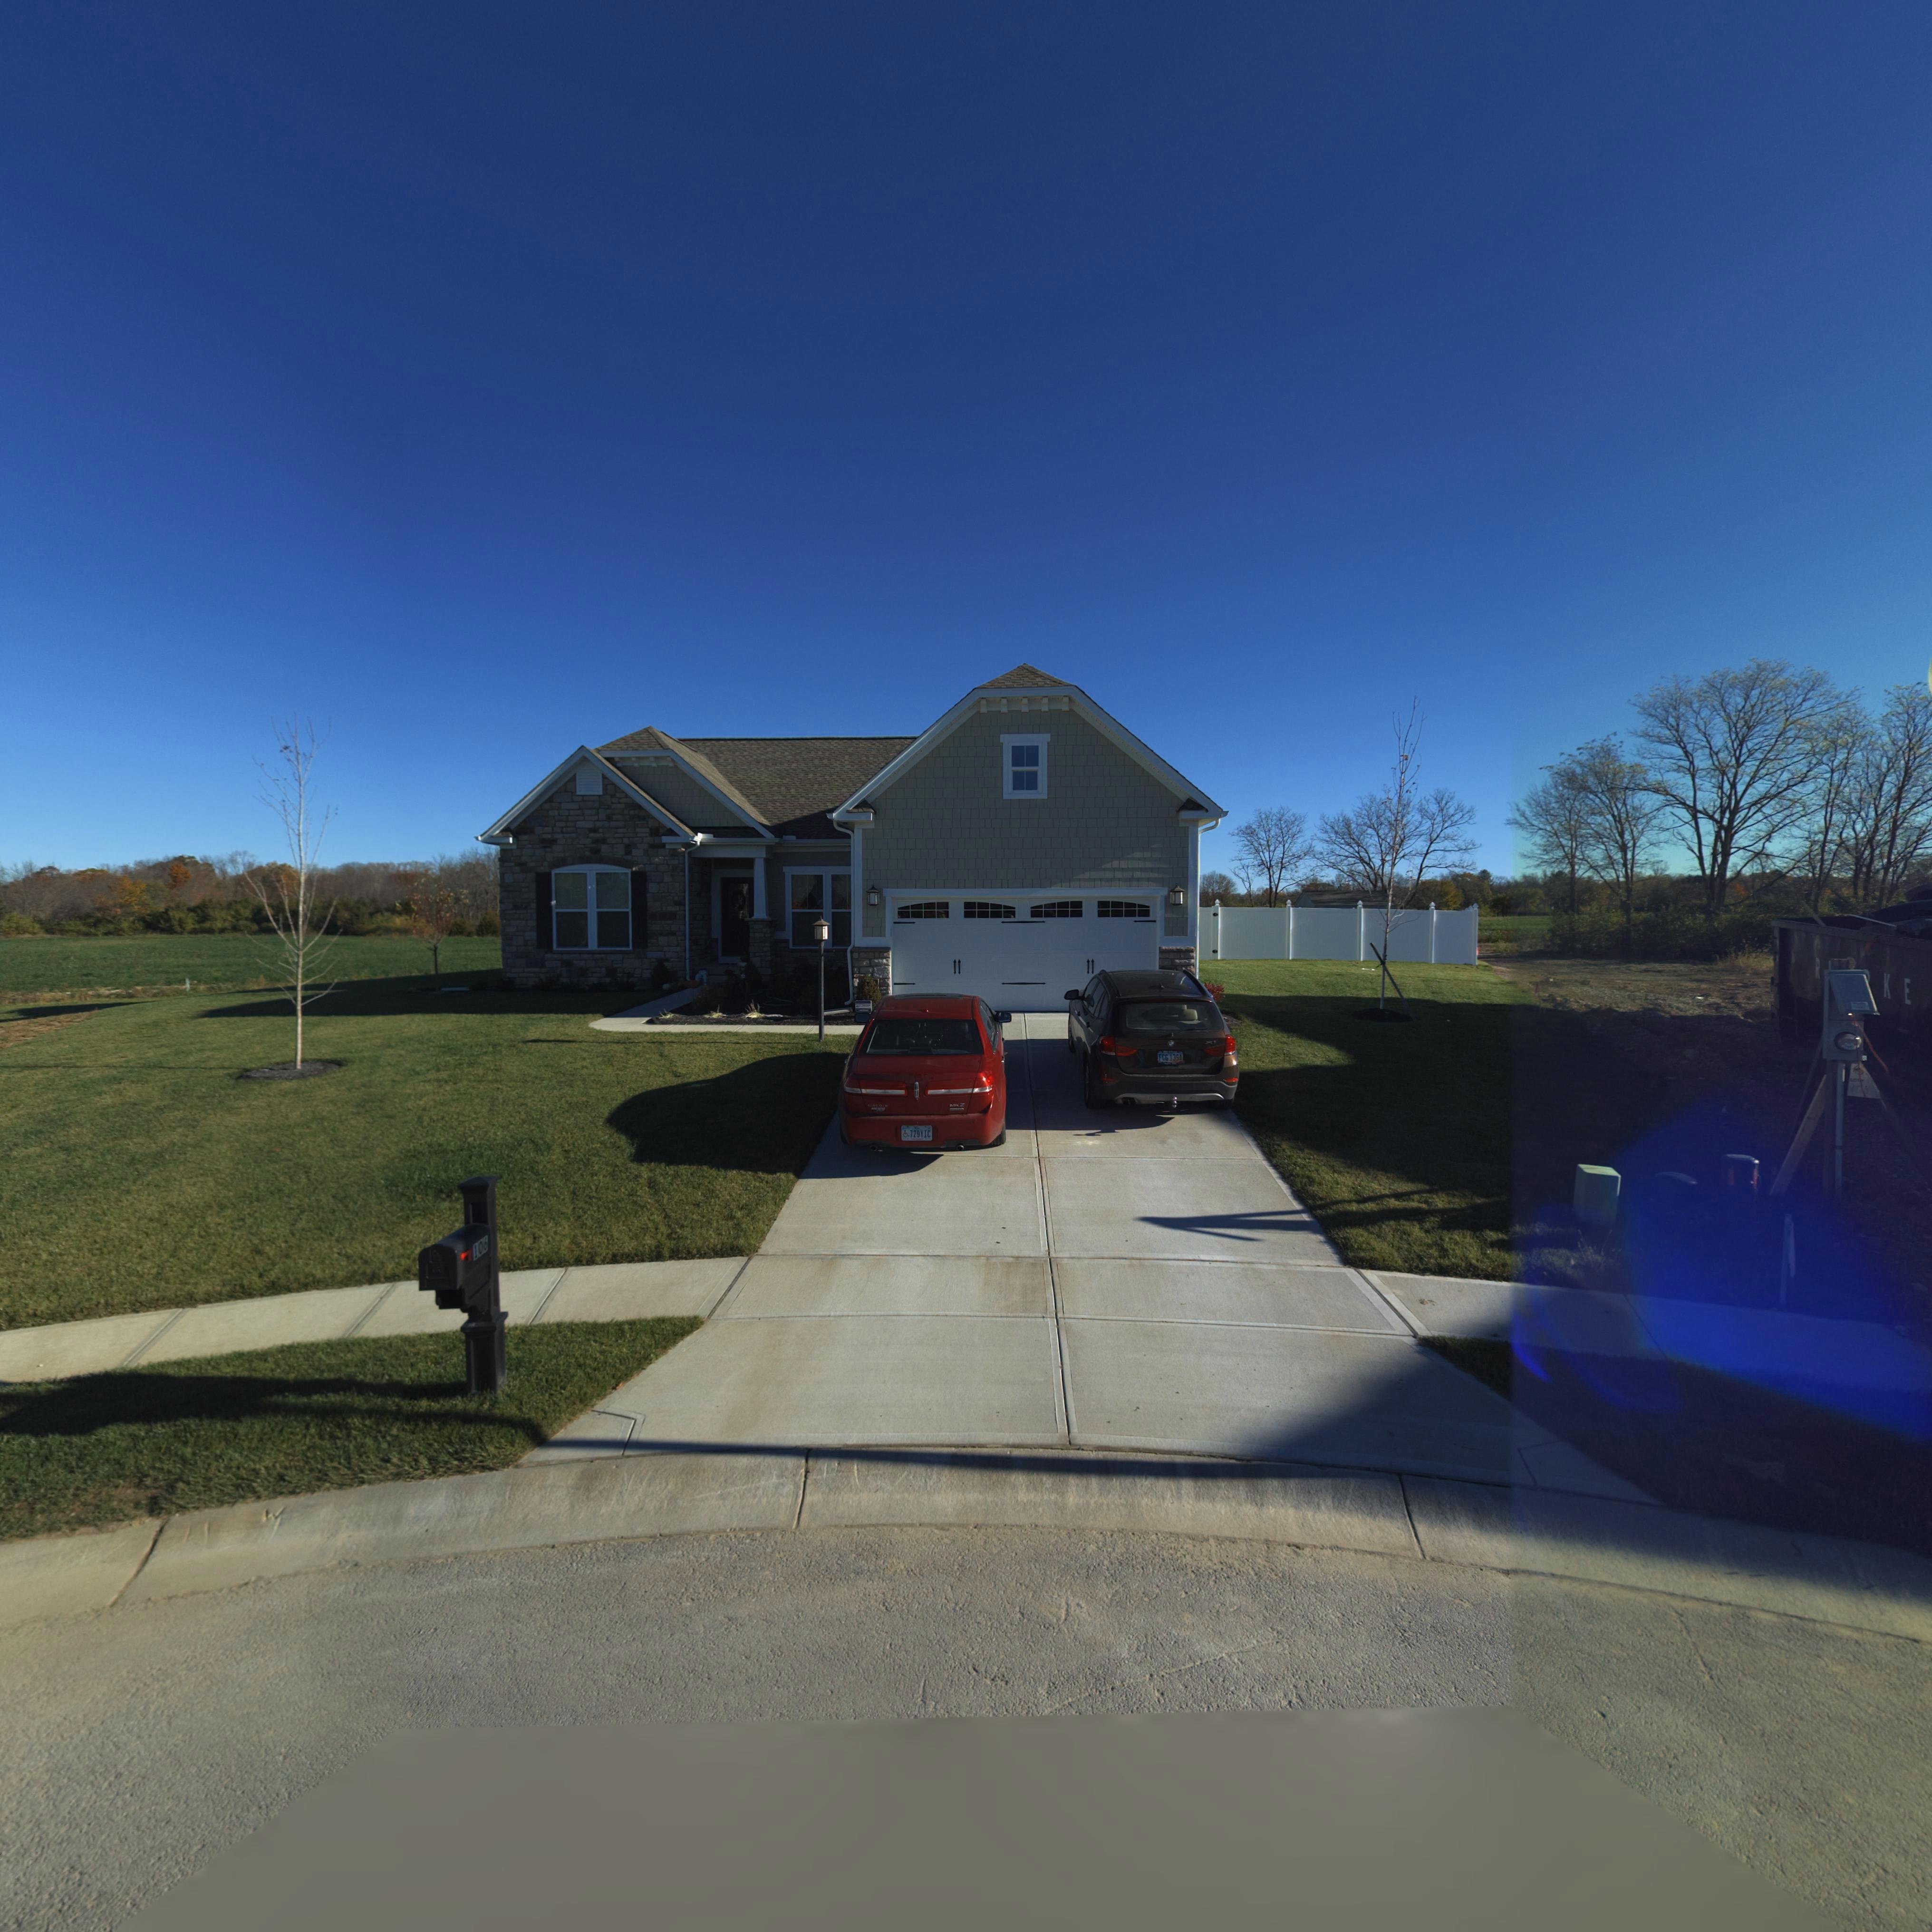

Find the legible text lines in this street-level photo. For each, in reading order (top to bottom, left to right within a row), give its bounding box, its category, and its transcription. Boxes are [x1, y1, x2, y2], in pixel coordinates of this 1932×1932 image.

[1157, 1052, 1182, 1061] None: FGG 139*
[907, 1129, 930, 1138] None: 729YIC
[472, 1235, 489, 1261] StreetNumber: 106